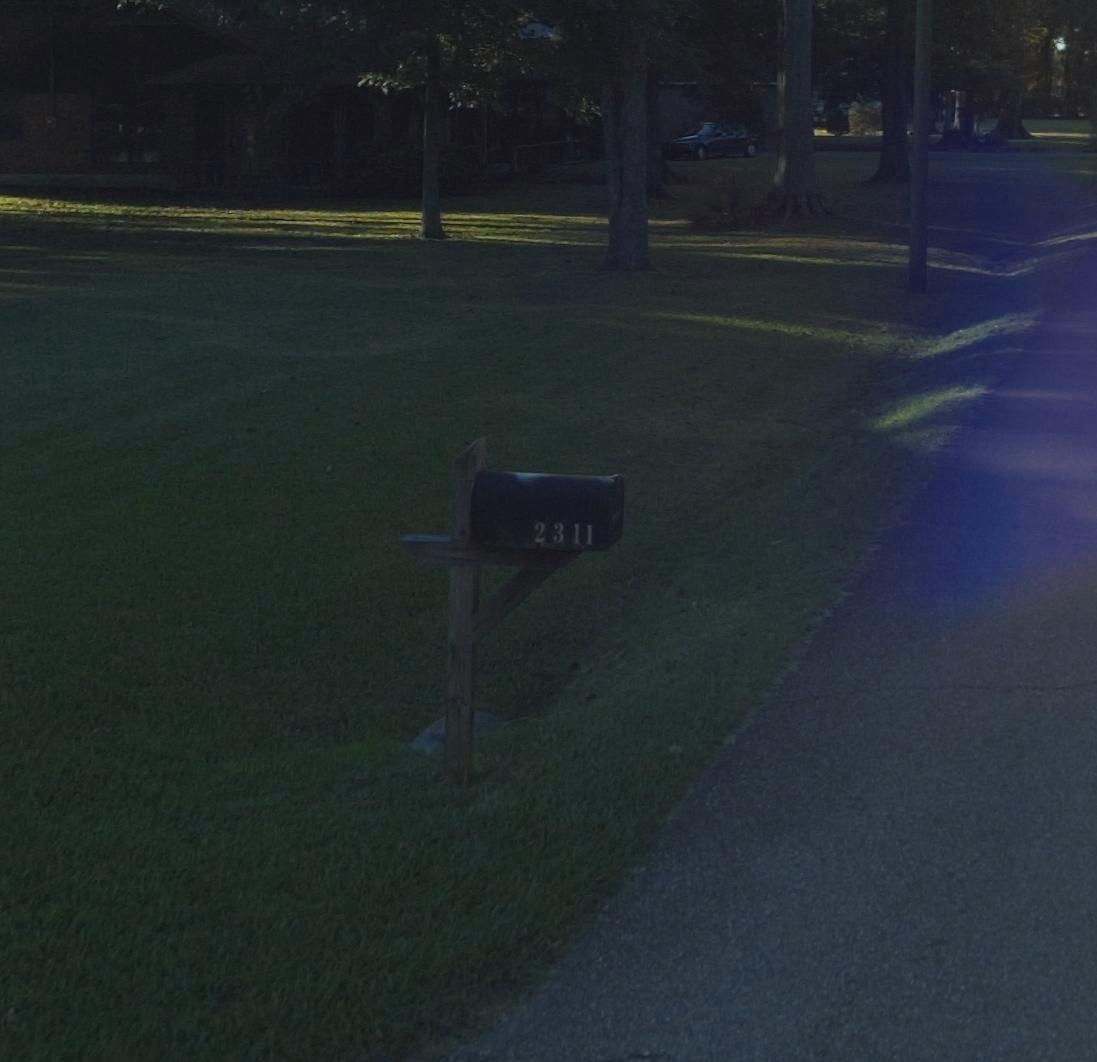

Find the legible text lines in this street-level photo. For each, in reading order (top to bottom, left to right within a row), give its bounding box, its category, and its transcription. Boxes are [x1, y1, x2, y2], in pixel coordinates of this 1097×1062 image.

[531, 518, 596, 548] StreetNumber: 2311